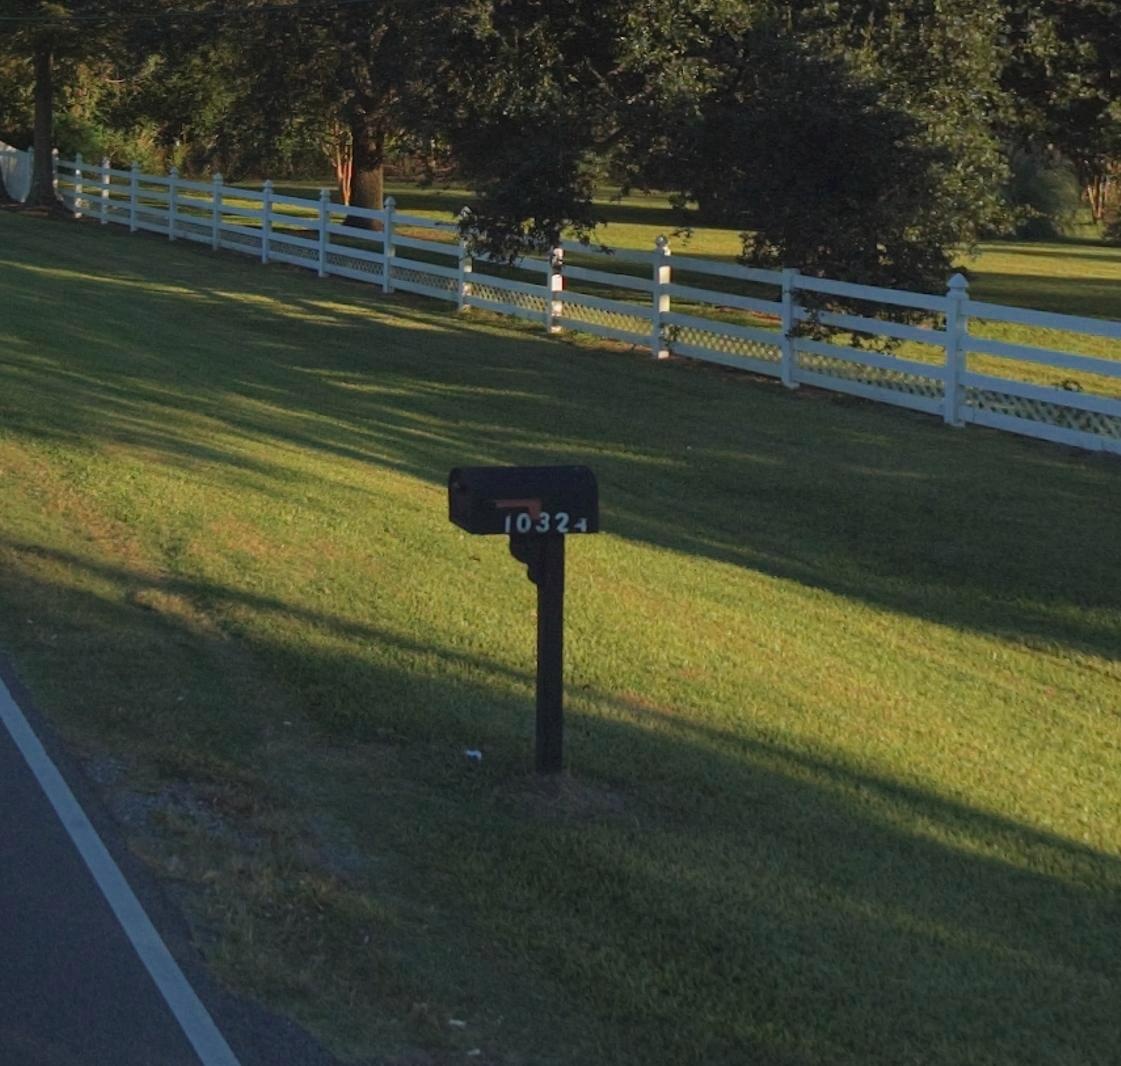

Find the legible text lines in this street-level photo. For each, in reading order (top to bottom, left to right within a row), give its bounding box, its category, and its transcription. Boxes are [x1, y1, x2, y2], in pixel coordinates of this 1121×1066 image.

[503, 510, 589, 534] StreetNumber: 10324